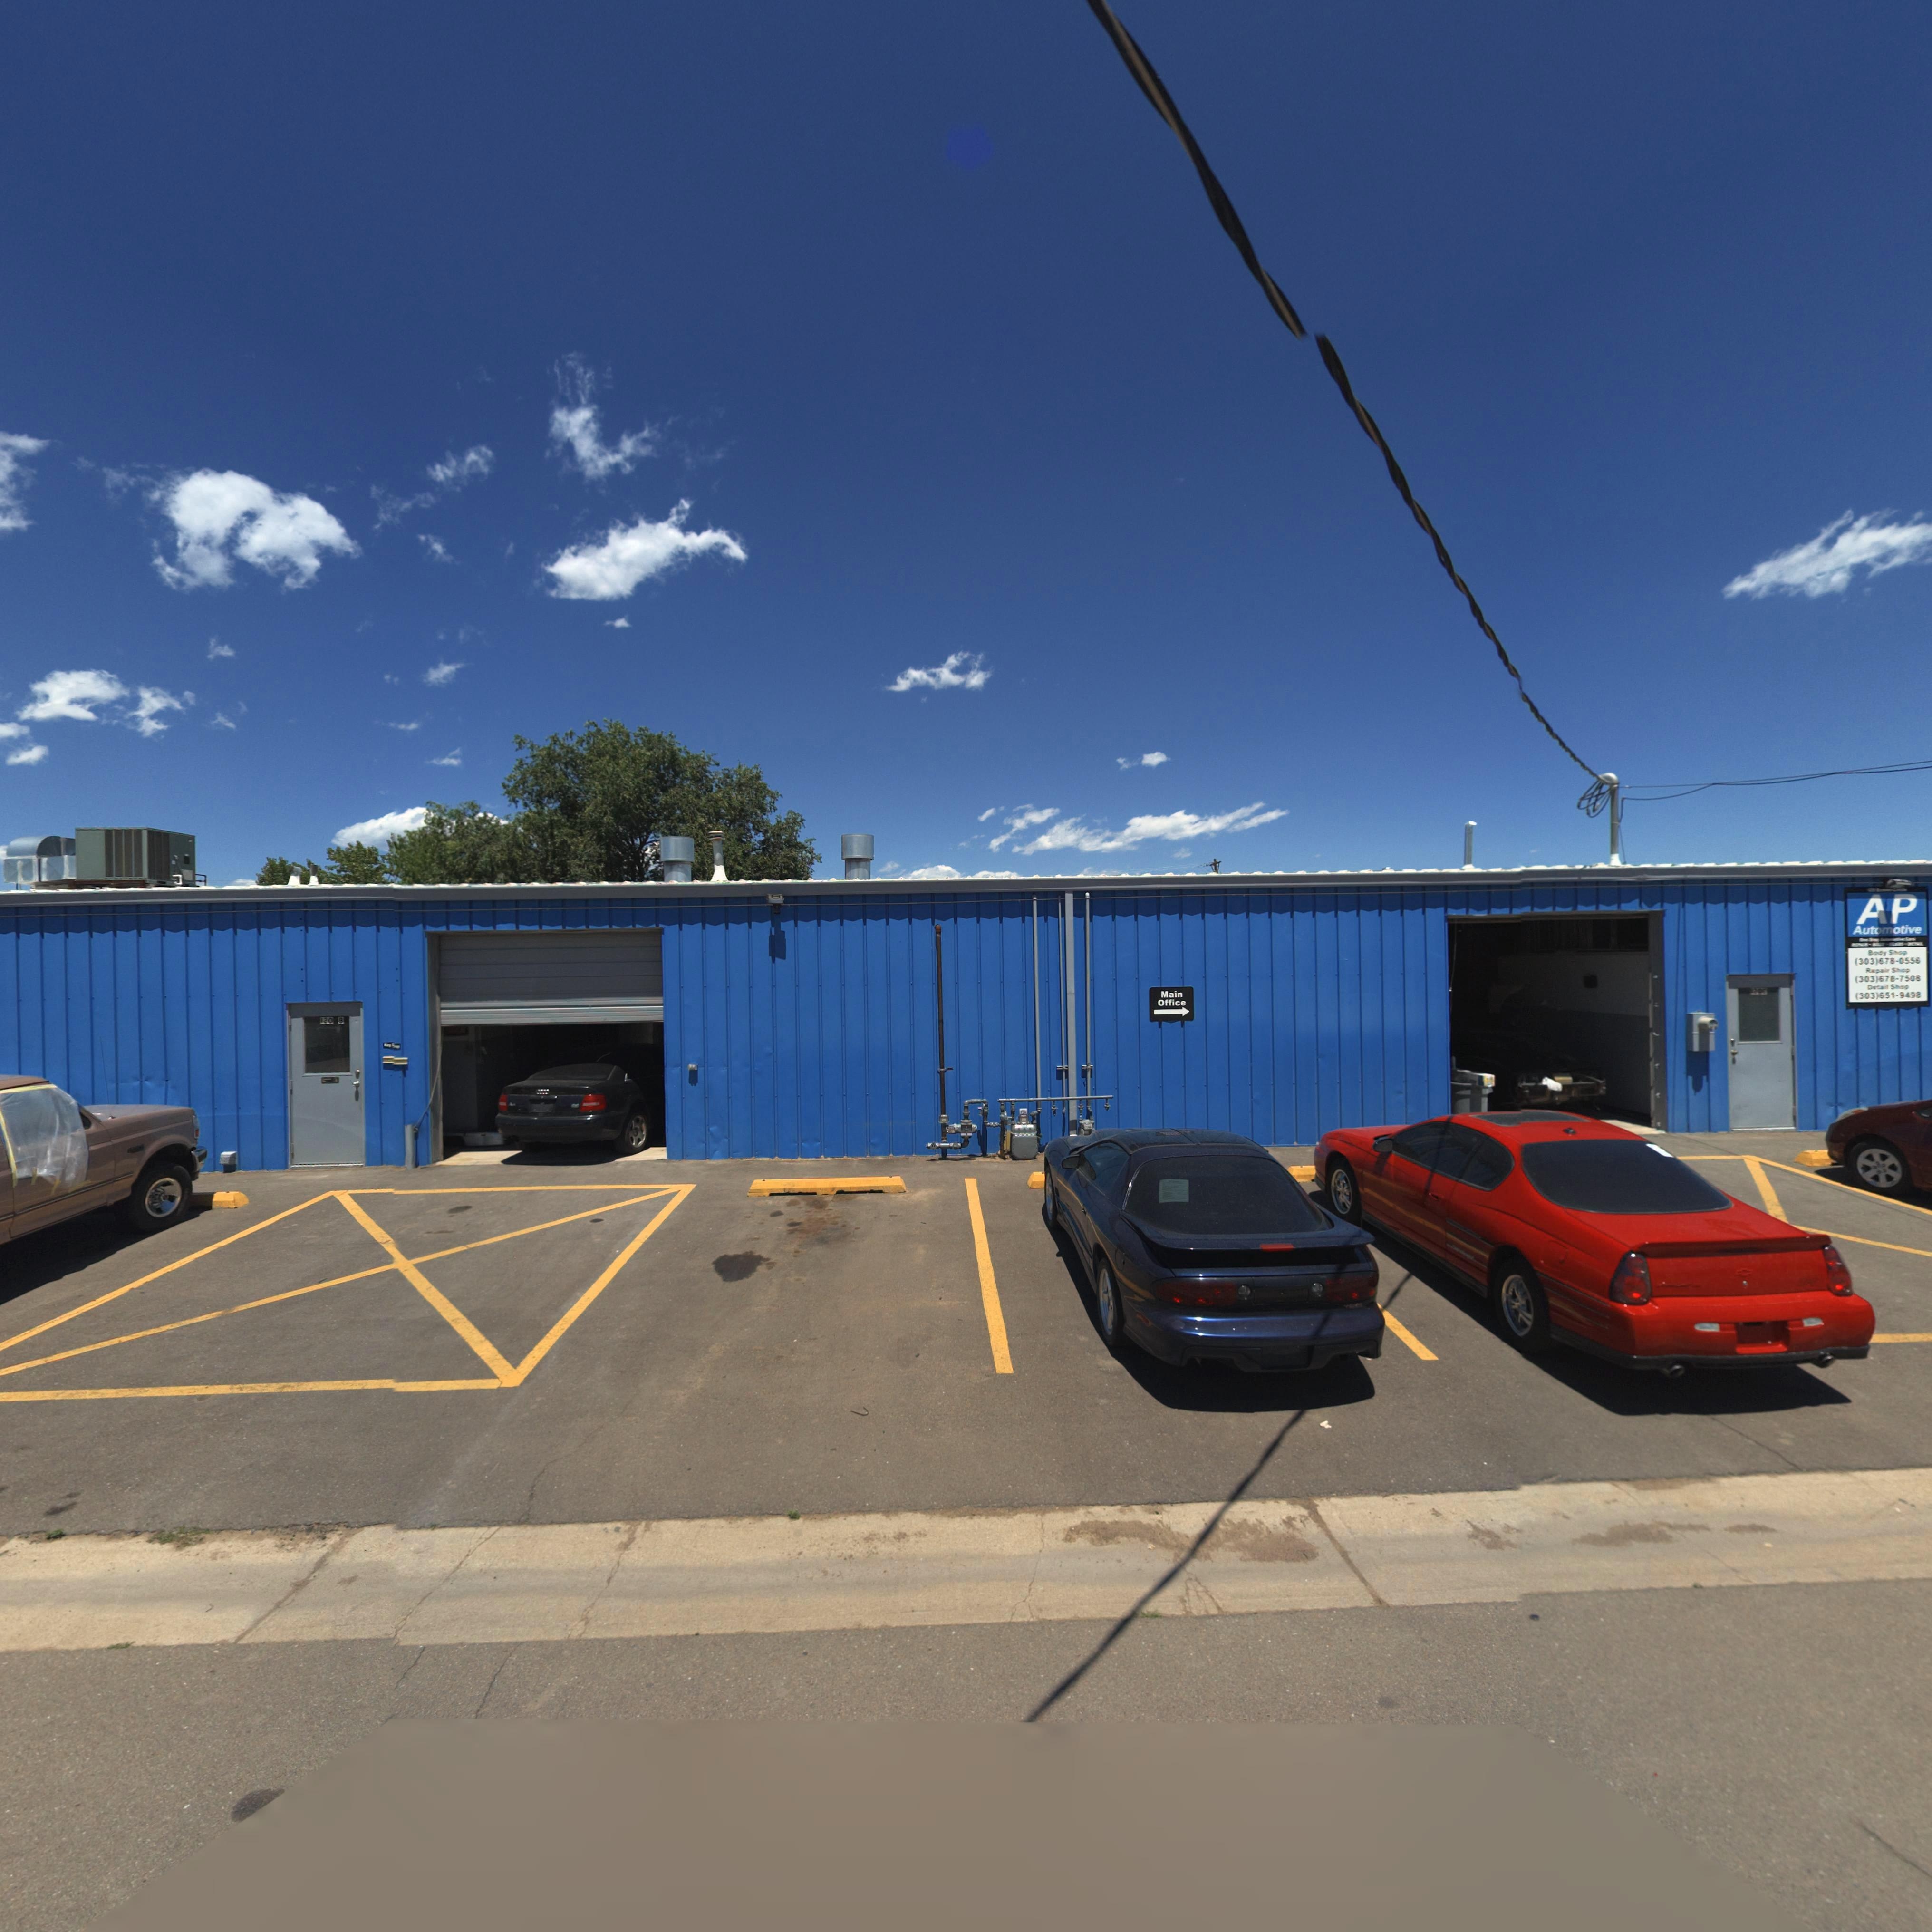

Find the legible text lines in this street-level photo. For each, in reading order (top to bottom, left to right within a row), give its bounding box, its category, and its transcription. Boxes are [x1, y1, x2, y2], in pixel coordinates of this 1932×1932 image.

[1855, 893, 1918, 924] BusinessName: AP
[1852, 924, 1922, 935] BusinessName: Automotive
[1751, 988, 1767, 994] StreetNumber: *20*
[320, 1017, 333, 1023] StreetNumber: 120
[339, 1017, 343, 1023] StreetNumber: B